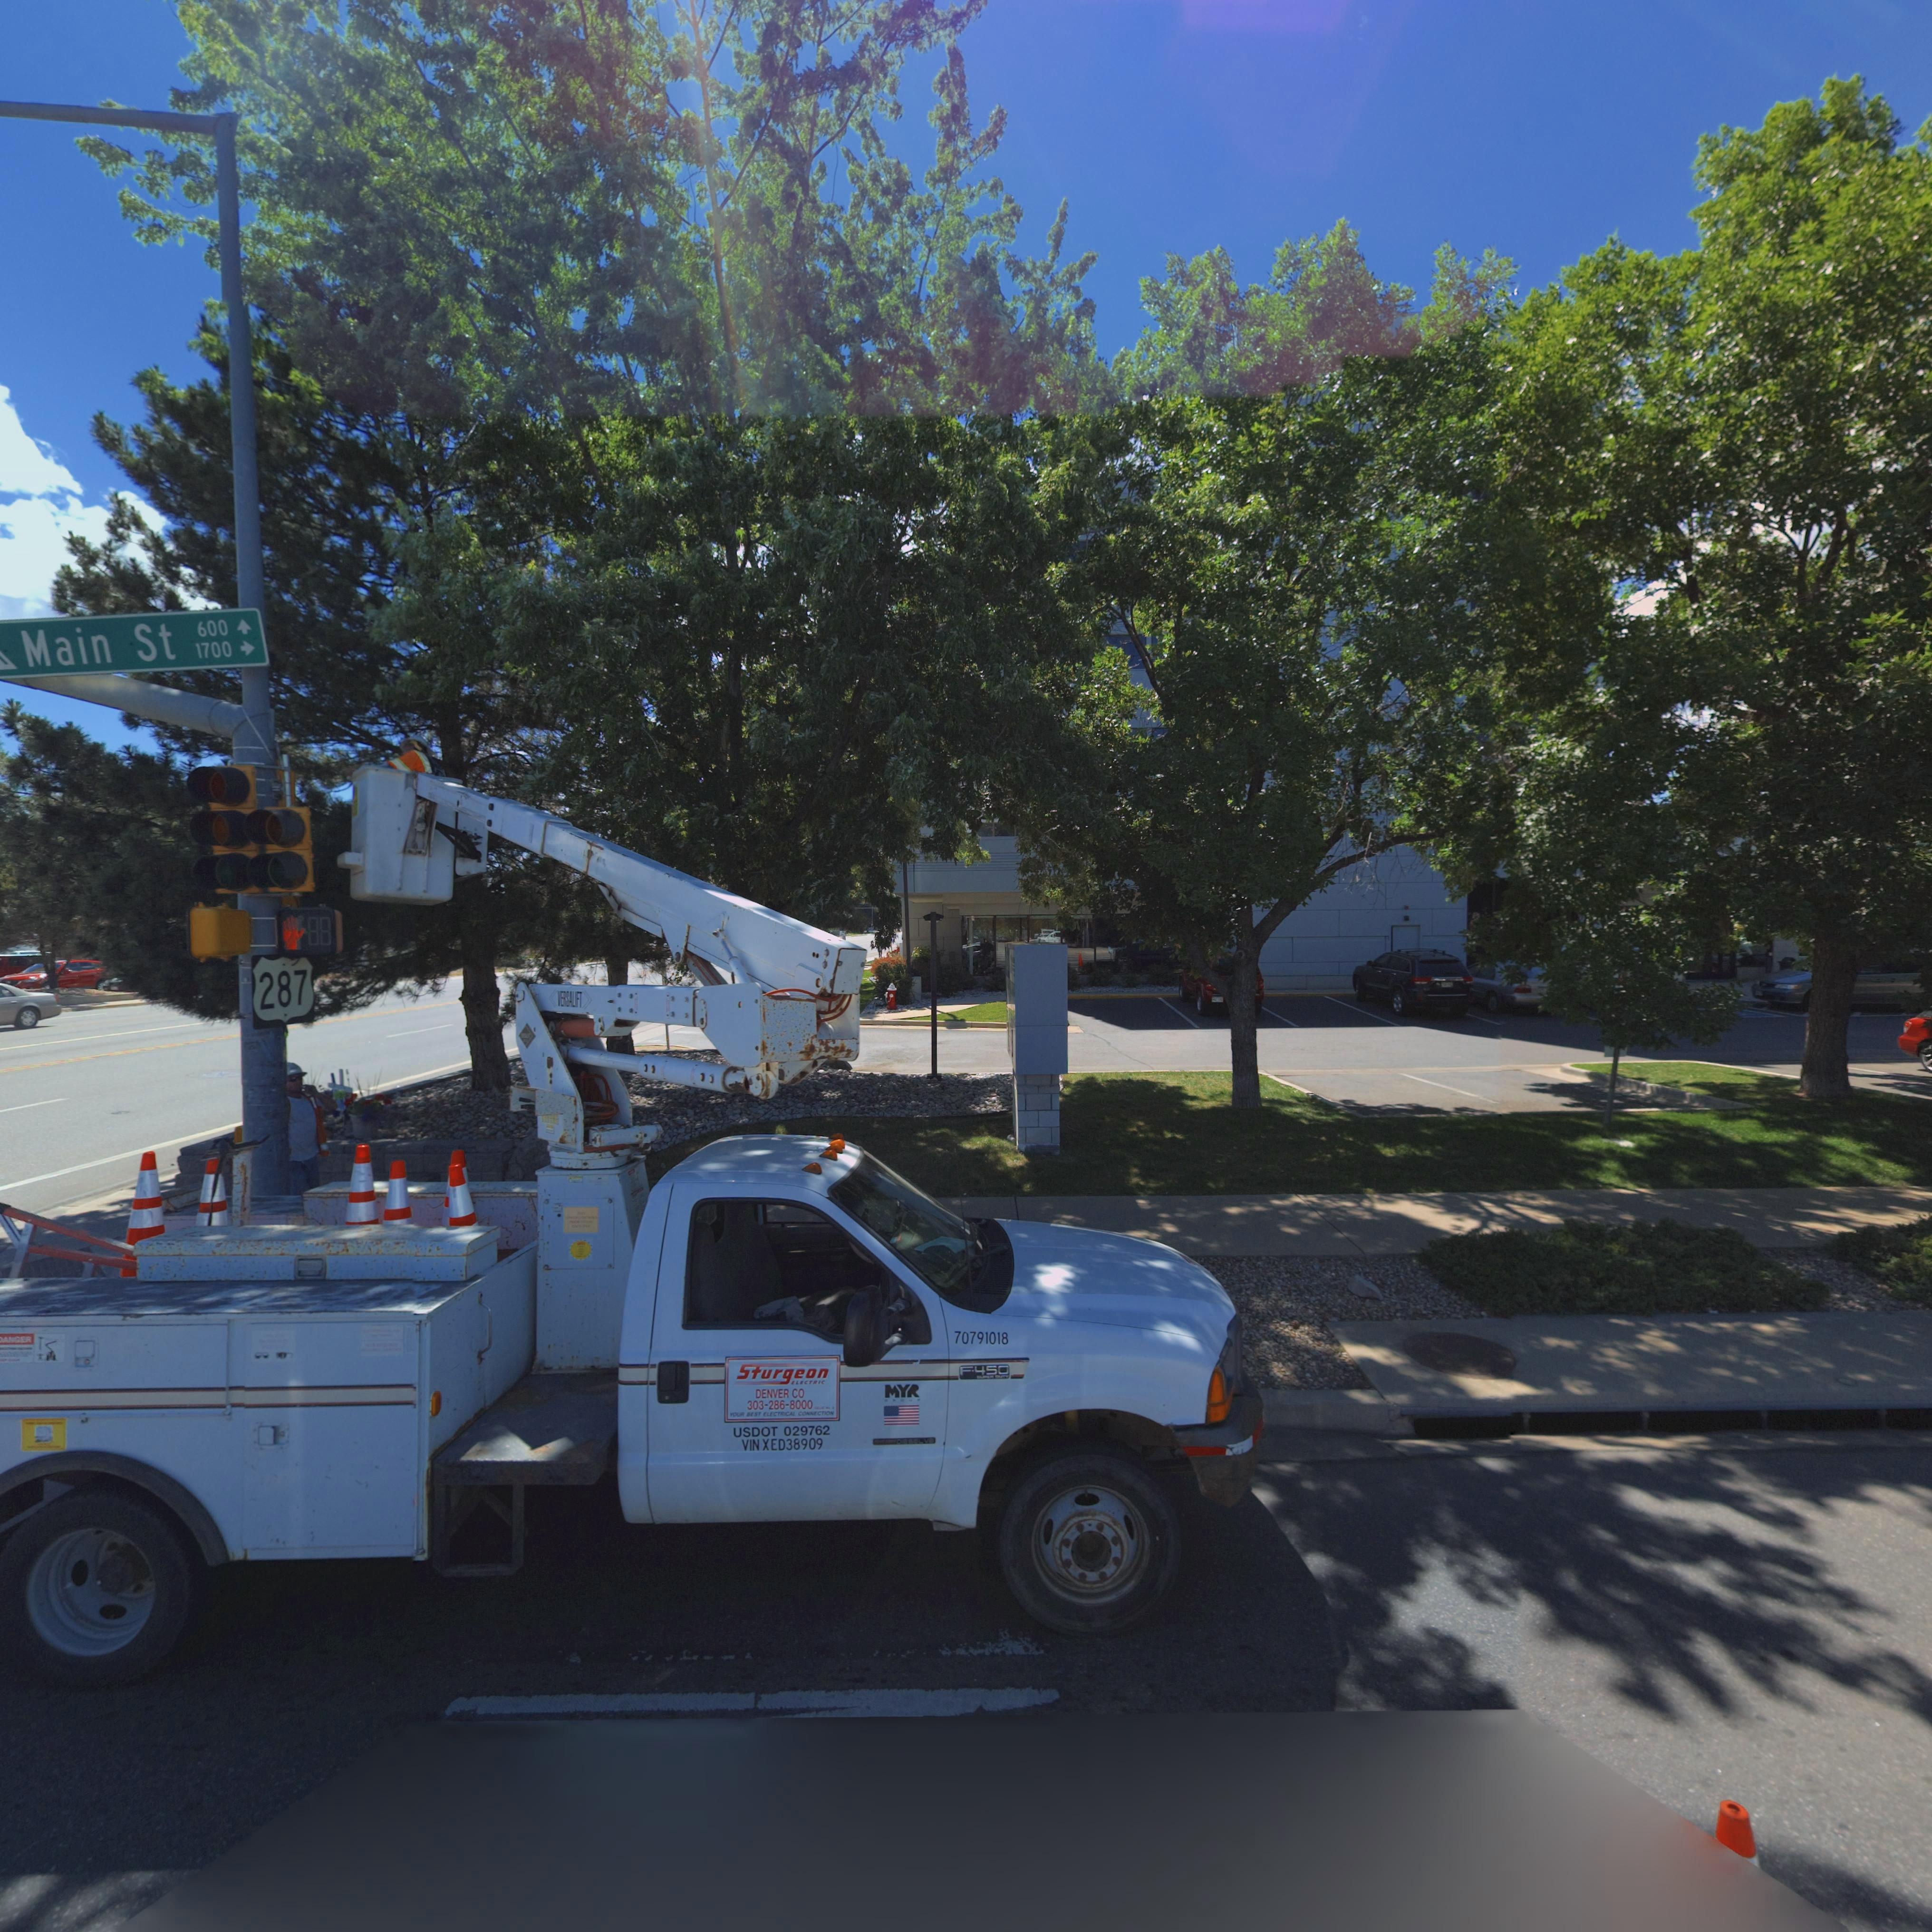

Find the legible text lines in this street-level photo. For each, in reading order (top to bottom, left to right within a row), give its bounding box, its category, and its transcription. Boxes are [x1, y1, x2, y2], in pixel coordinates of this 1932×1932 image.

[195, 618, 229, 638] StreetNumberRange: 600
[19, 620, 178, 670] StreetName:  Main St
[194, 639, 255, 659] StreetNumberRange: 1700 ->